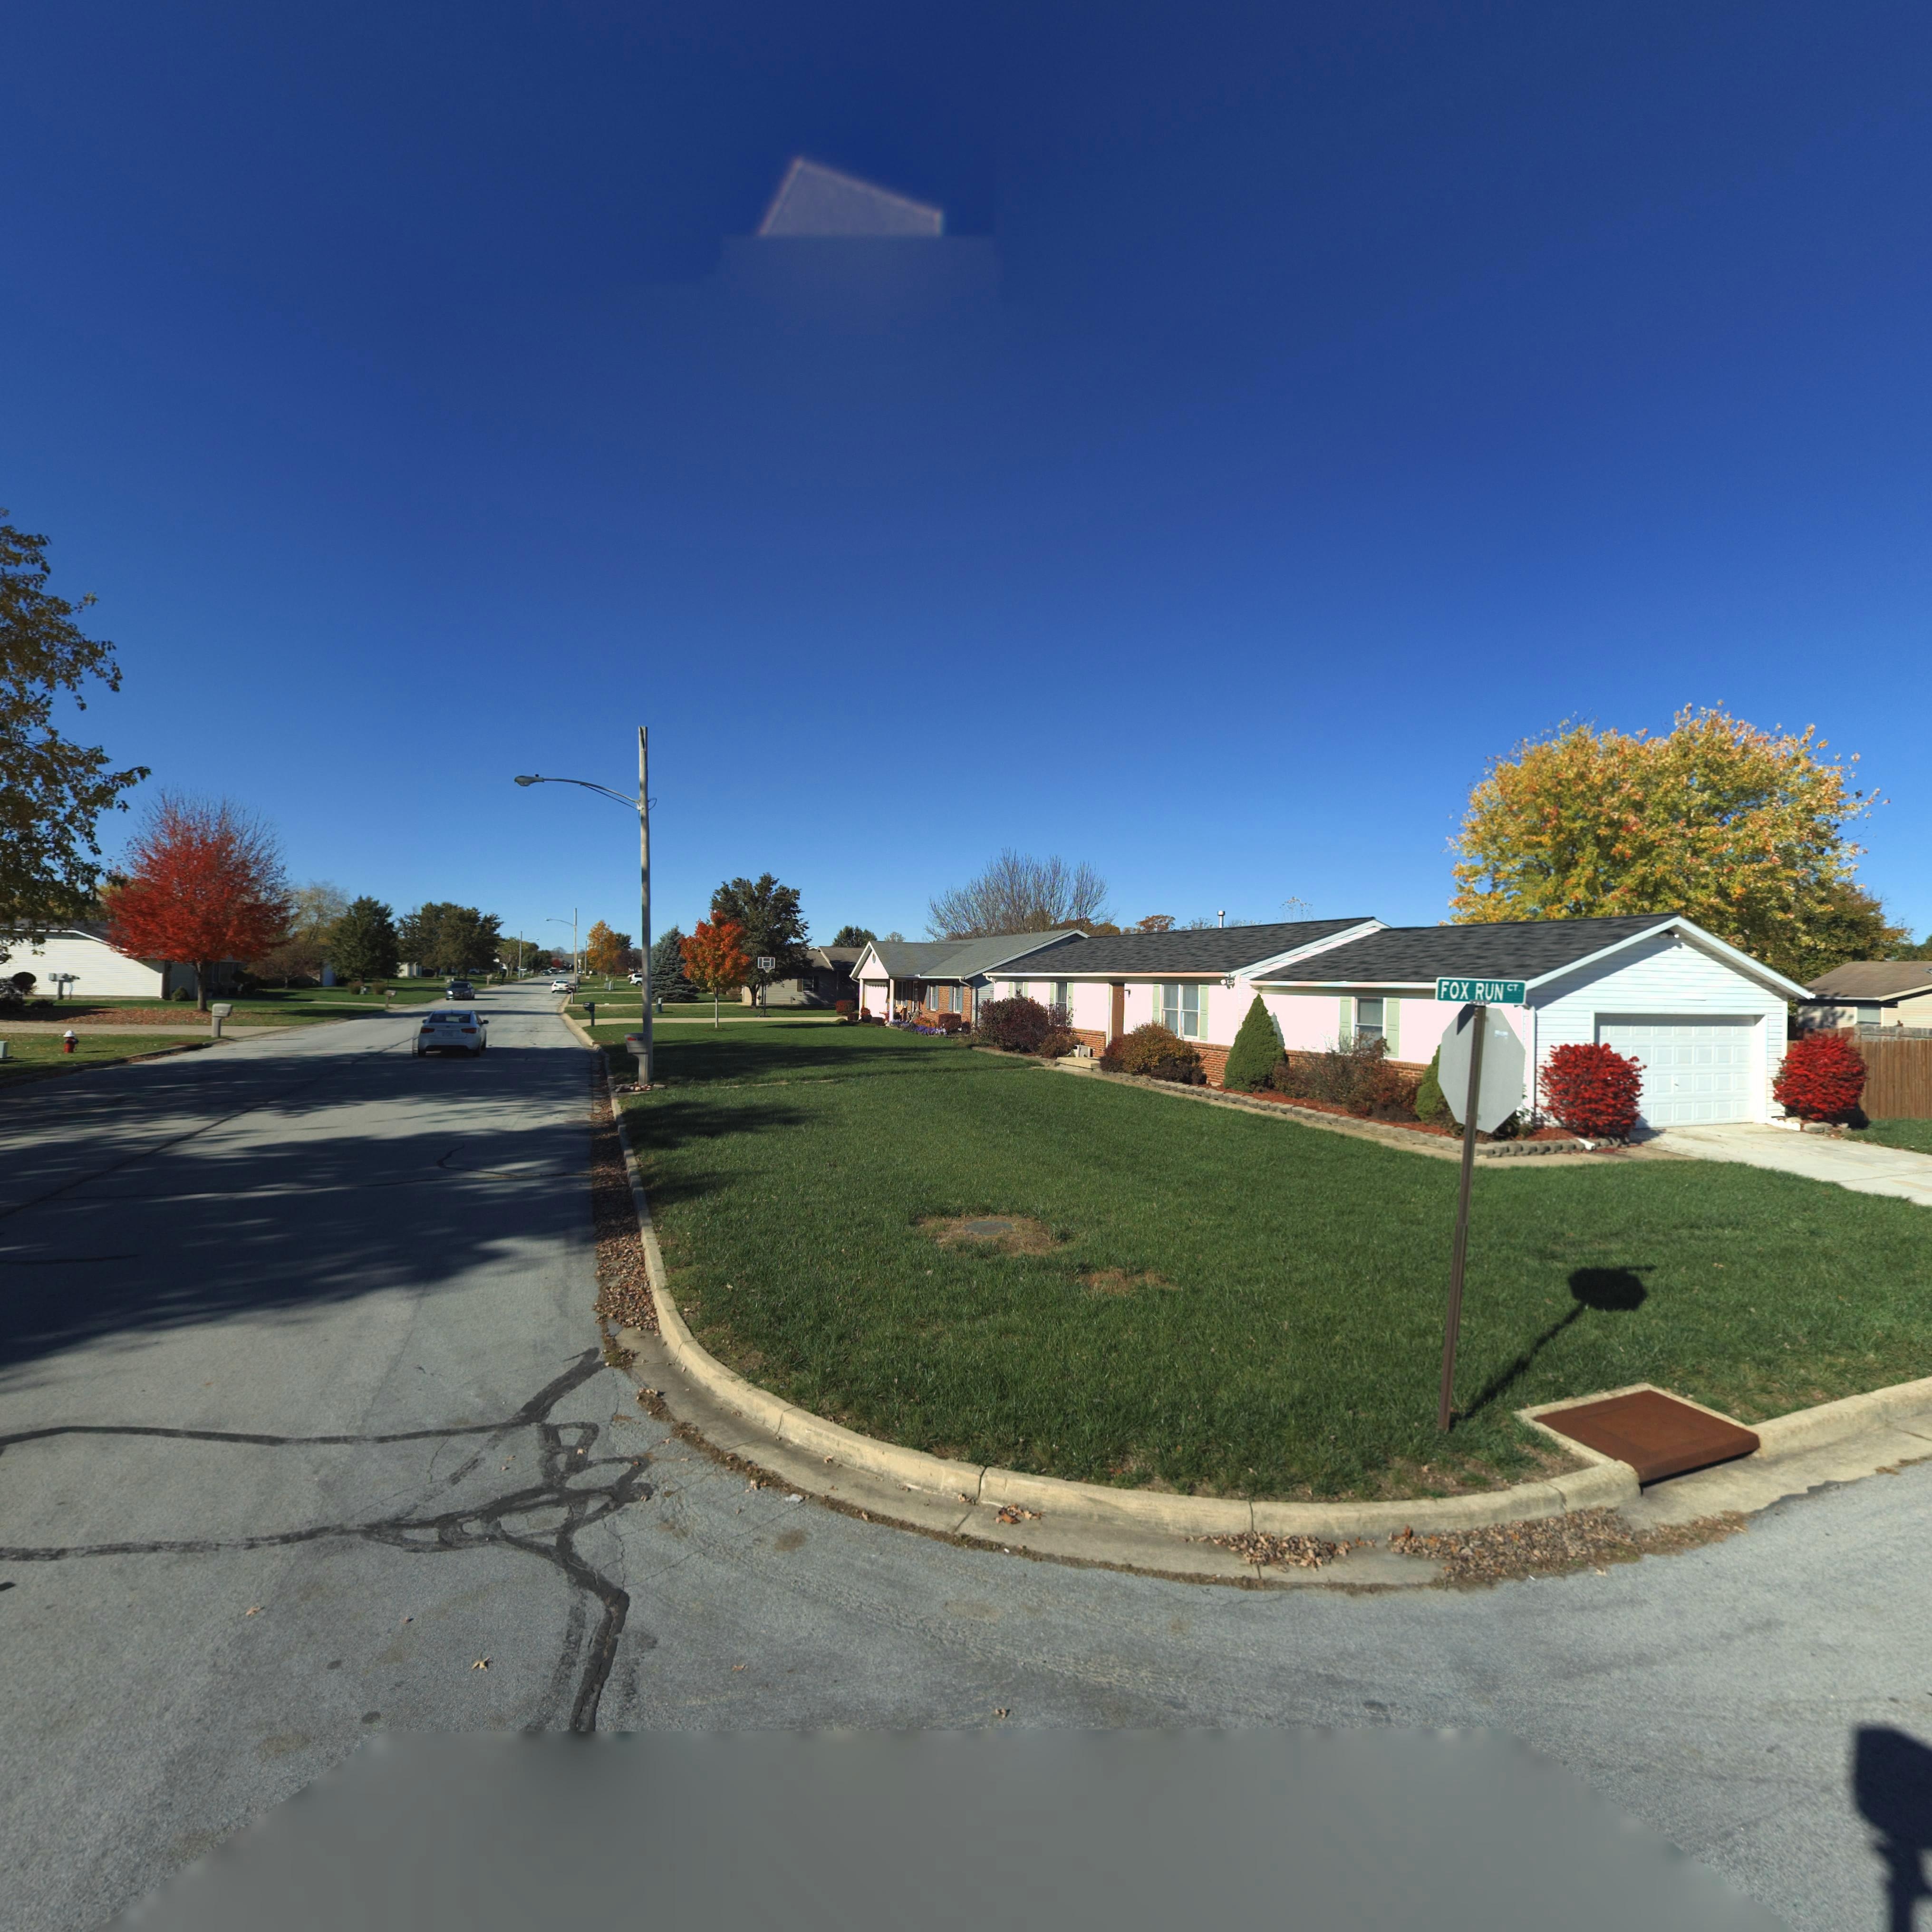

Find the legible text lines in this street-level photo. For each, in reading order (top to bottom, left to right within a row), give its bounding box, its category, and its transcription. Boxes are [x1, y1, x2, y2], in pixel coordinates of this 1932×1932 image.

[637, 1037, 644, 1041] StreetNumber: 122